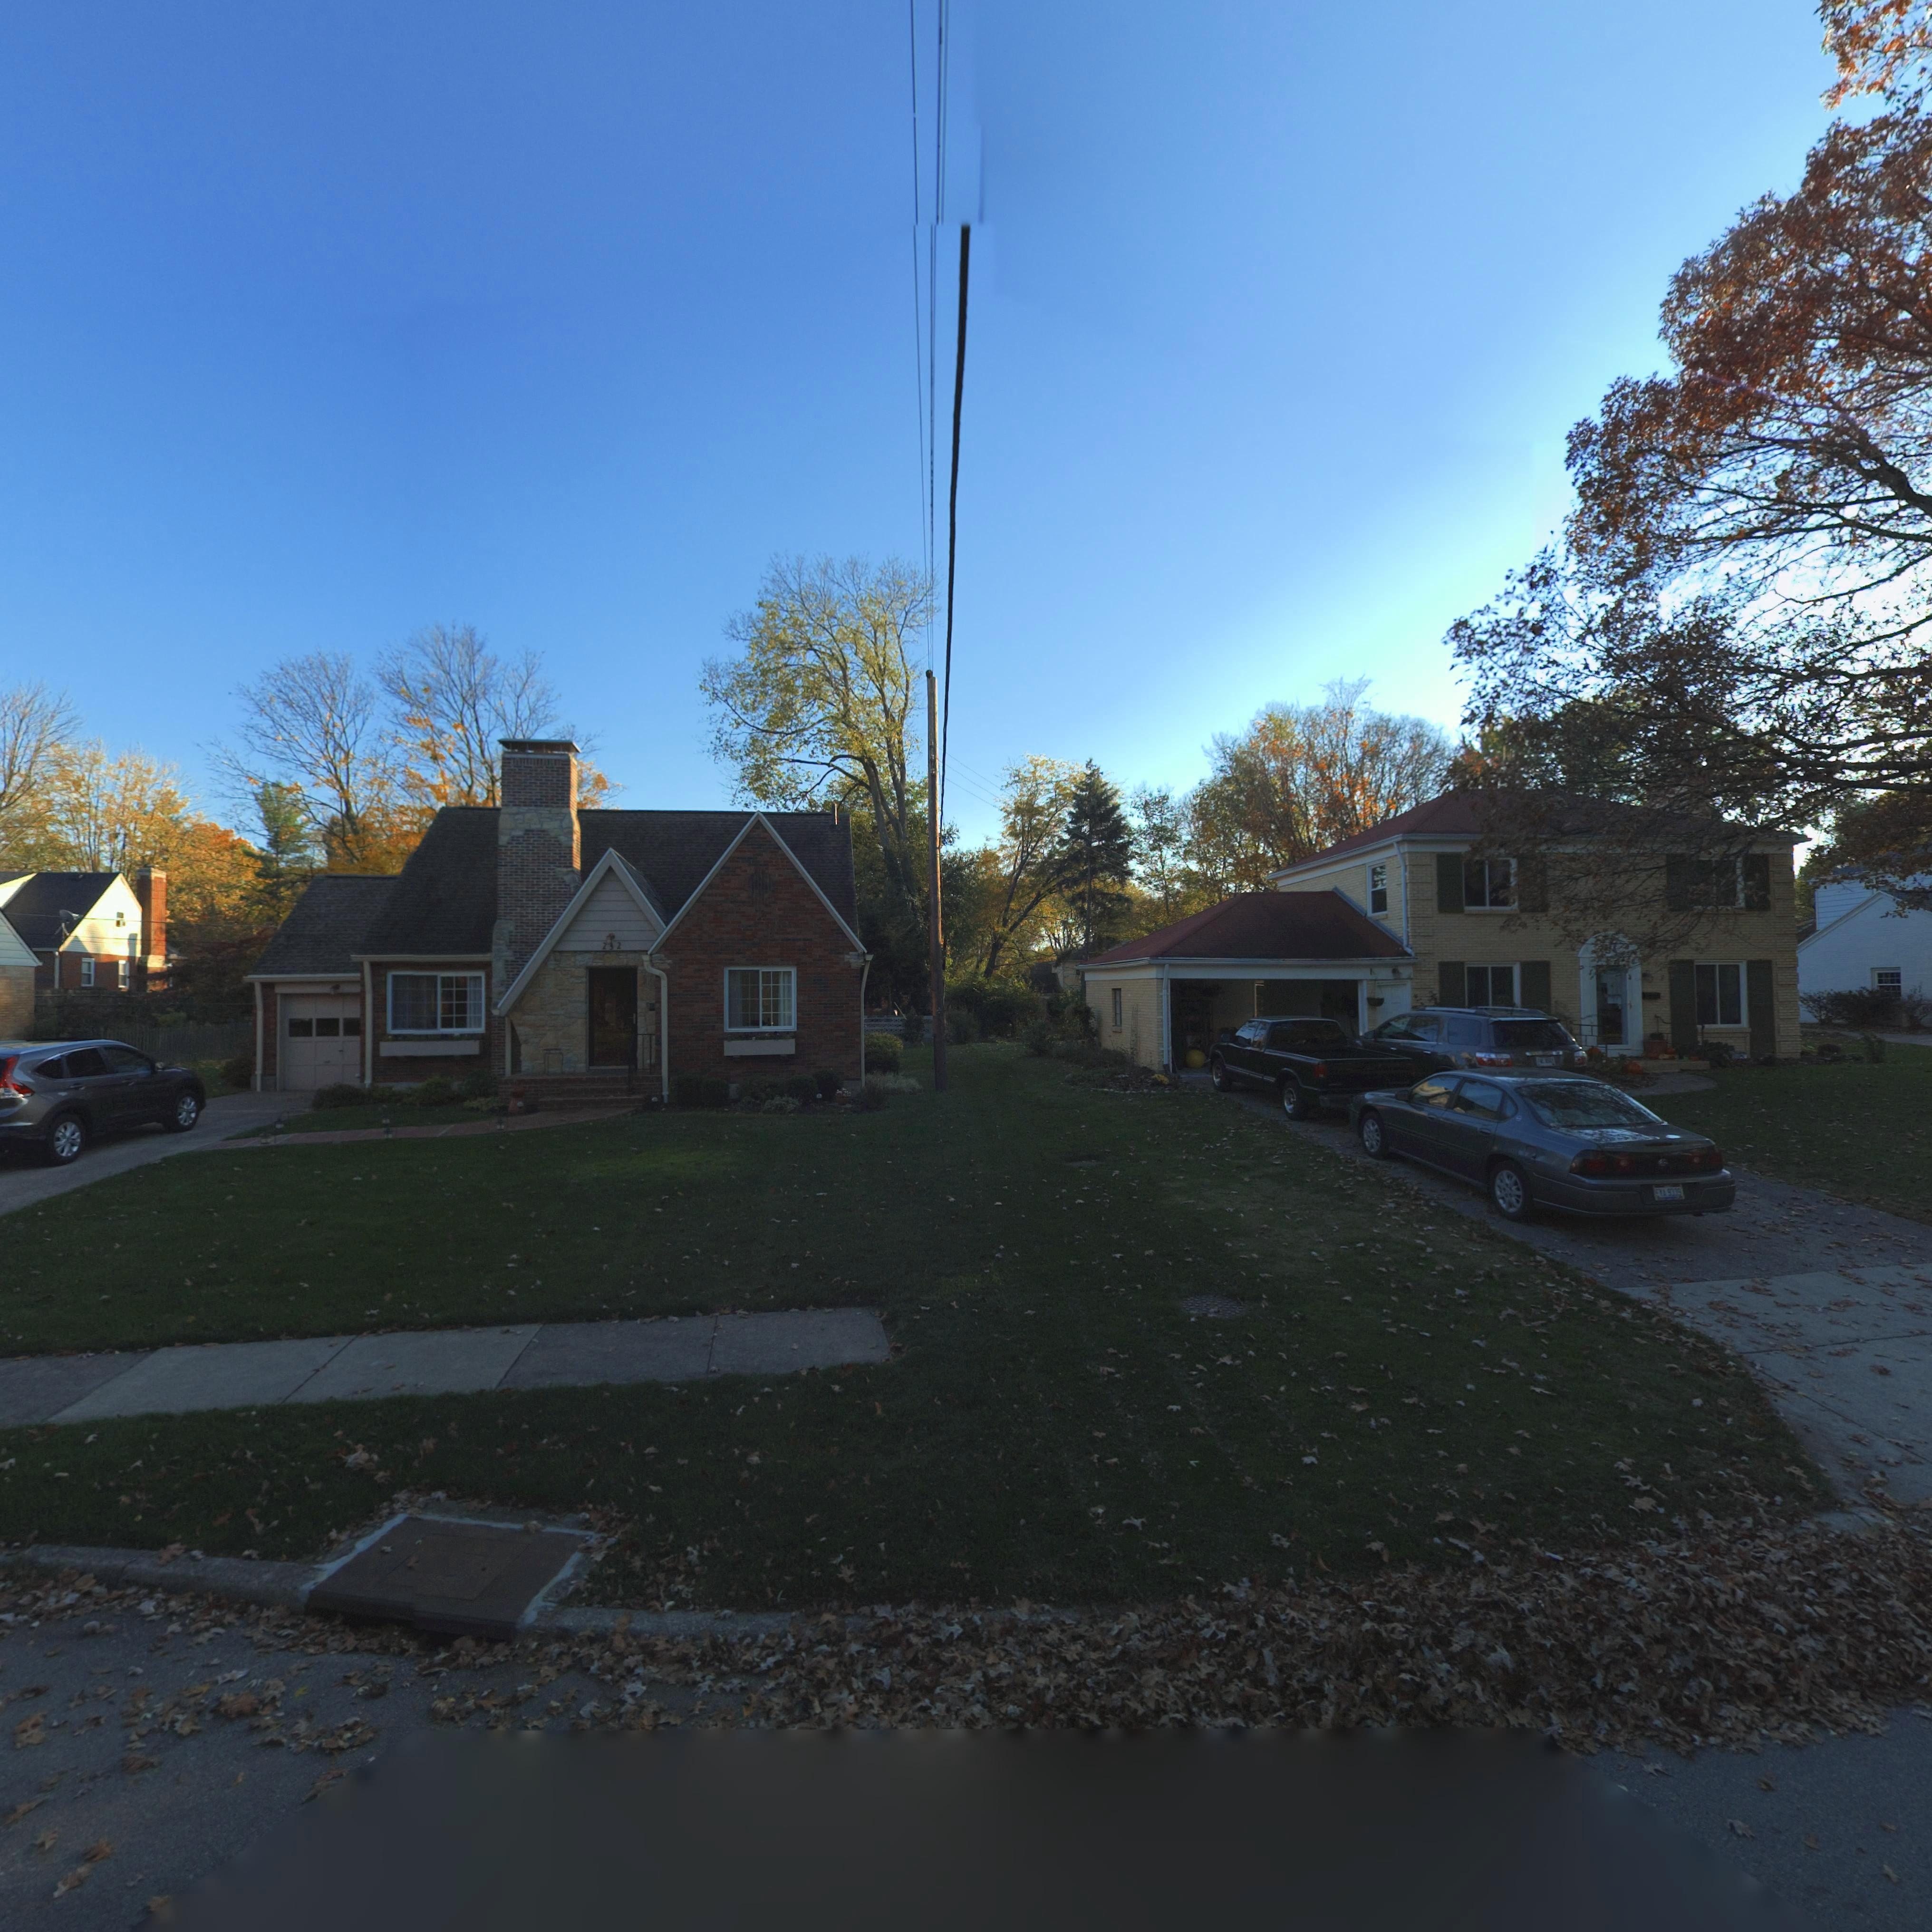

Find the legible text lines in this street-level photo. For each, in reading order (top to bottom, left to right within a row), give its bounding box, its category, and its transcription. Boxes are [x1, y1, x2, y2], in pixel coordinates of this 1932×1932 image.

[602, 941, 621, 951] StreetNumber: 232